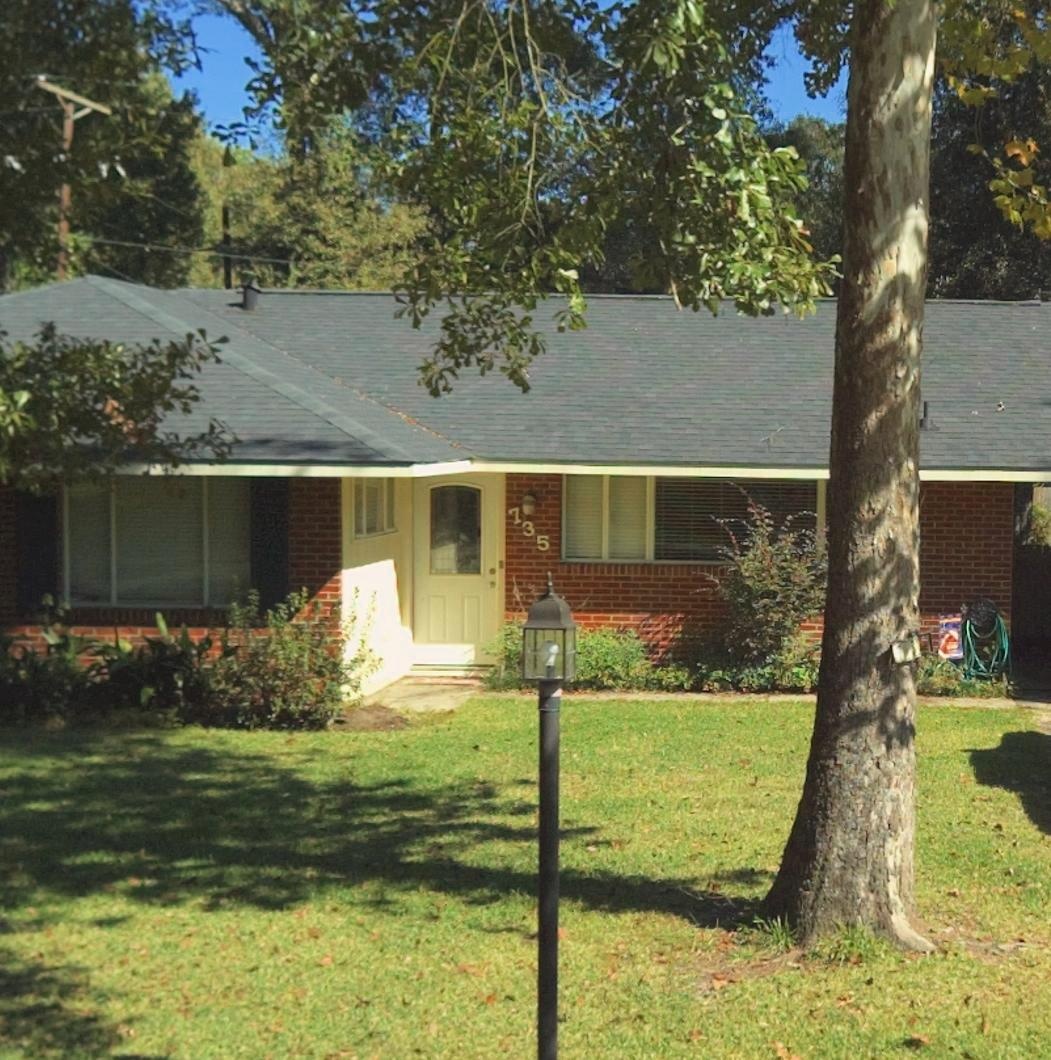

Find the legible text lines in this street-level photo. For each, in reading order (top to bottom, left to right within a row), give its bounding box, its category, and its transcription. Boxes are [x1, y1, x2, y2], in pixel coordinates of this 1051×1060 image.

[507, 504, 552, 553] StreetNumber: 735